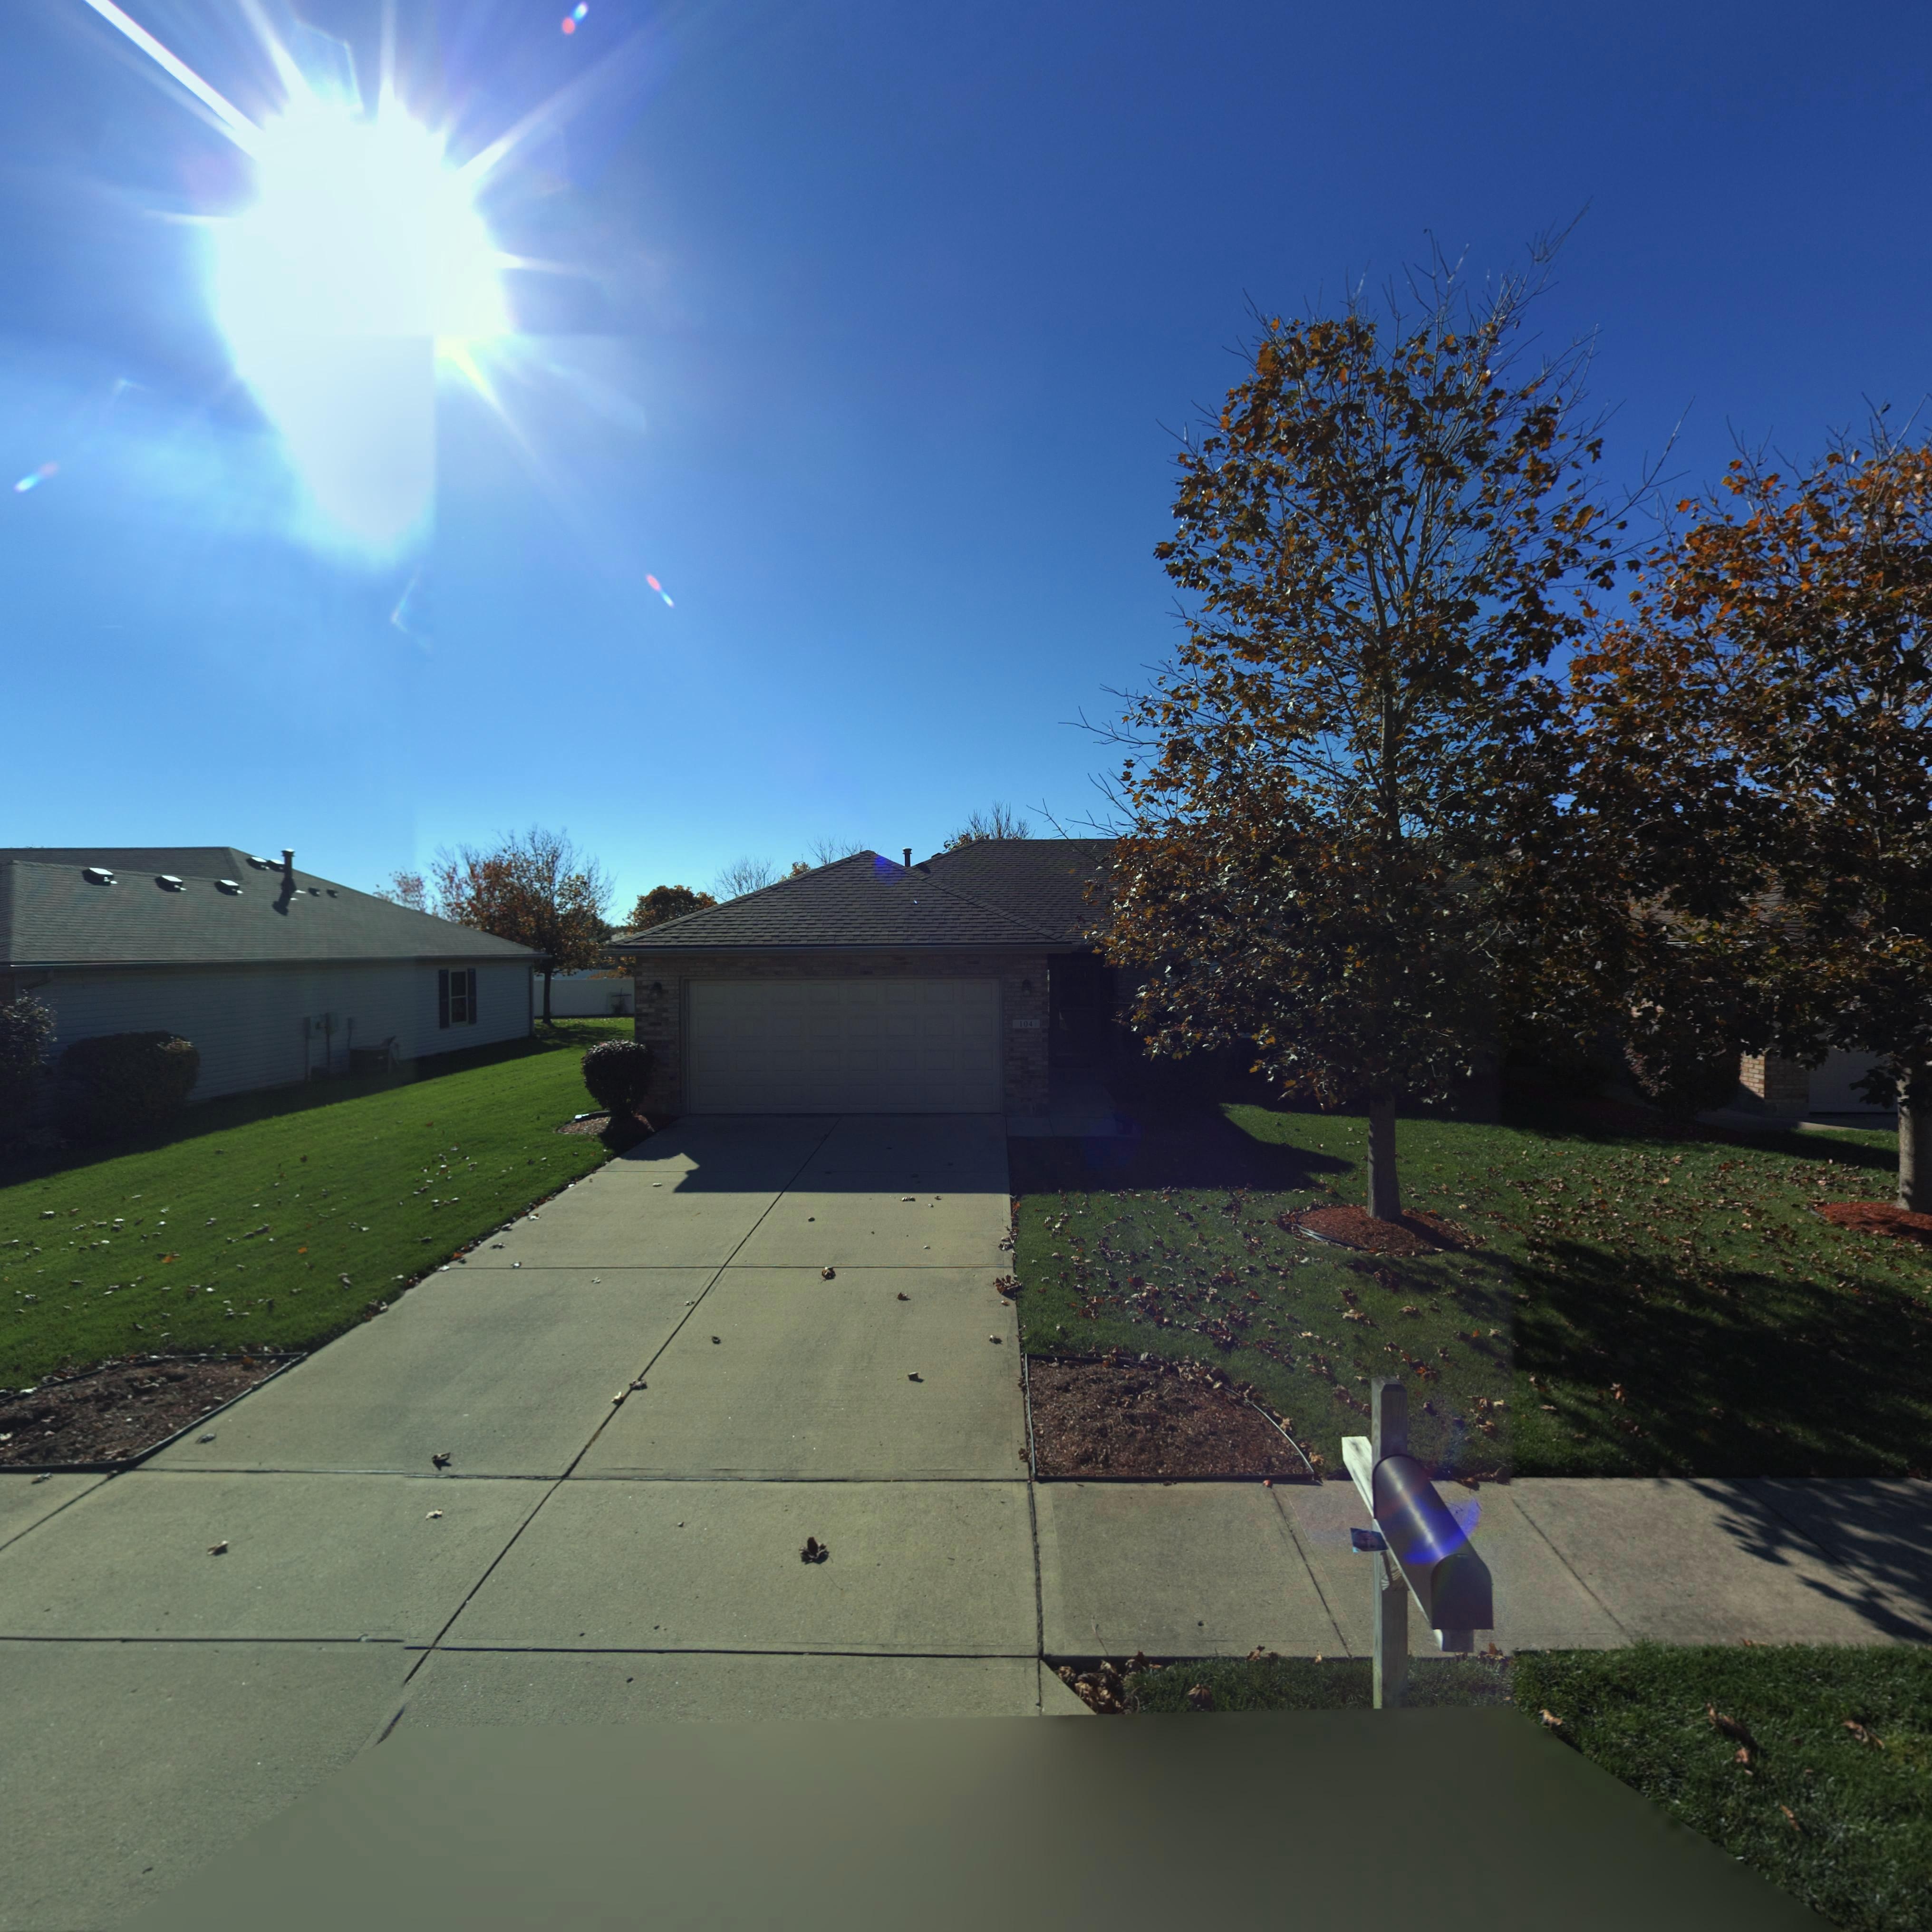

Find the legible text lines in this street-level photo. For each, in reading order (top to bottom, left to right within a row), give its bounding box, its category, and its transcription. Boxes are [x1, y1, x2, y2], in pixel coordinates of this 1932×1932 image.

[1020, 1021, 1033, 1027] StreetNumber: 104